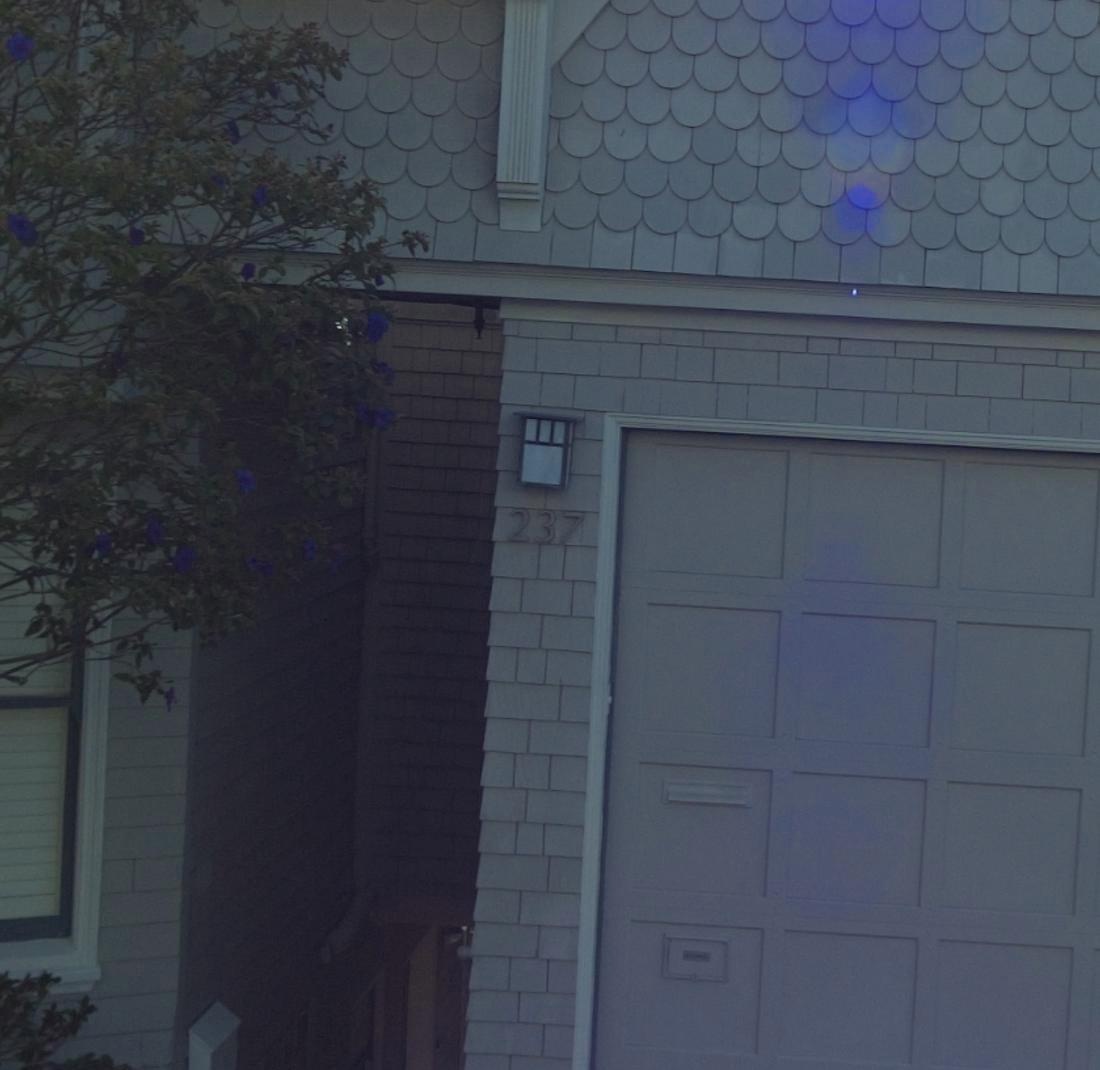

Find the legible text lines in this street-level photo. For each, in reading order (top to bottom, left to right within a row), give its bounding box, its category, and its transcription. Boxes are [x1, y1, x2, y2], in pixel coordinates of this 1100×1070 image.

[508, 506, 586, 546] StreetNumber: 237